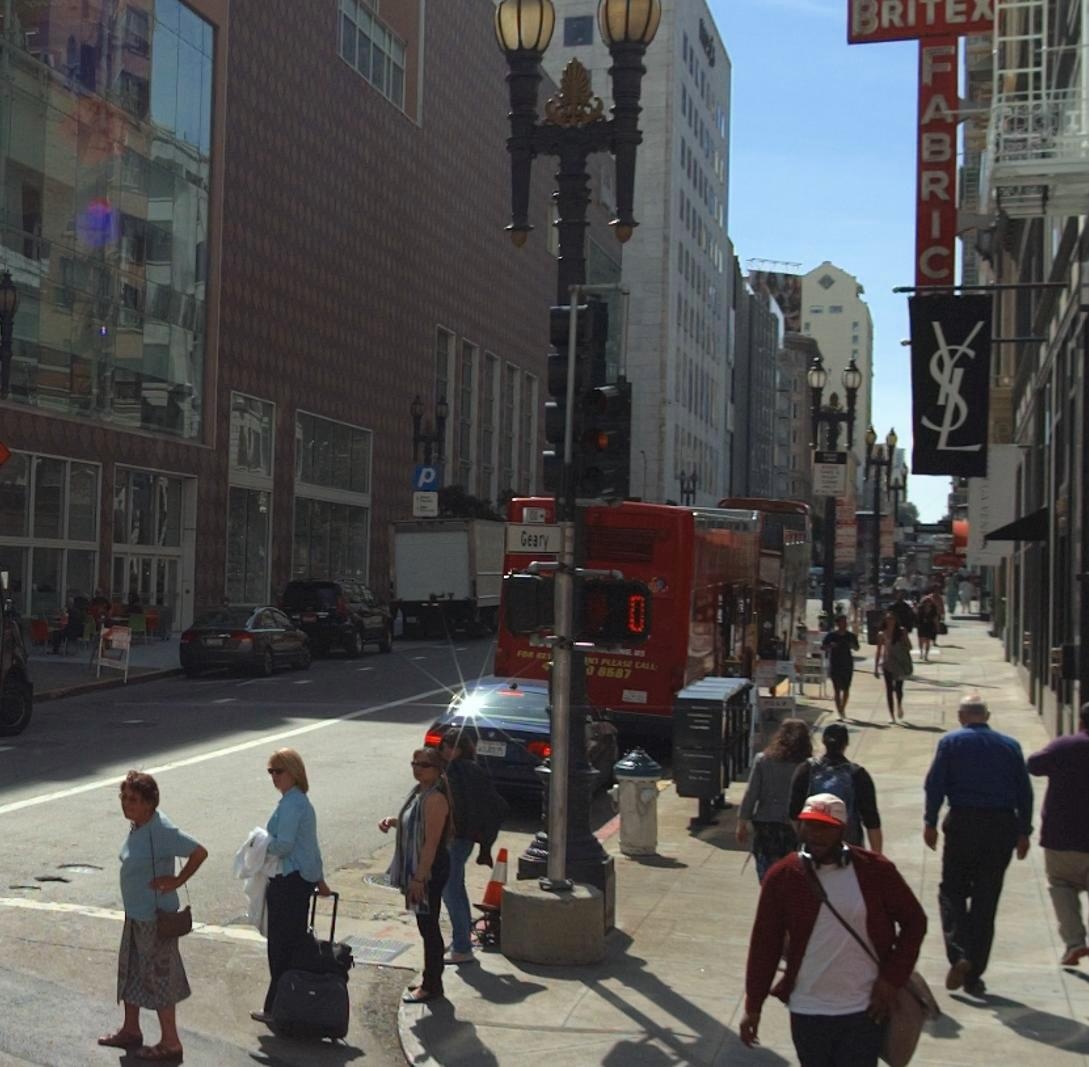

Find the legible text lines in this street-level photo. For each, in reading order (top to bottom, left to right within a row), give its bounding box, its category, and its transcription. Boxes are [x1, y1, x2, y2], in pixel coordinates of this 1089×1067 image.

[850, 0, 918, 35] BusinessName: BRI
[917, 42, 957, 284] BusinessName: FABRIC
[415, 465, 439, 490] None: P
[518, 528, 551, 551] StreetName: Geary
[624, 592, 649, 636] None: 0
[595, 665, 634, 681] None: 8687
[633, 659, 660, 673] None: CALL